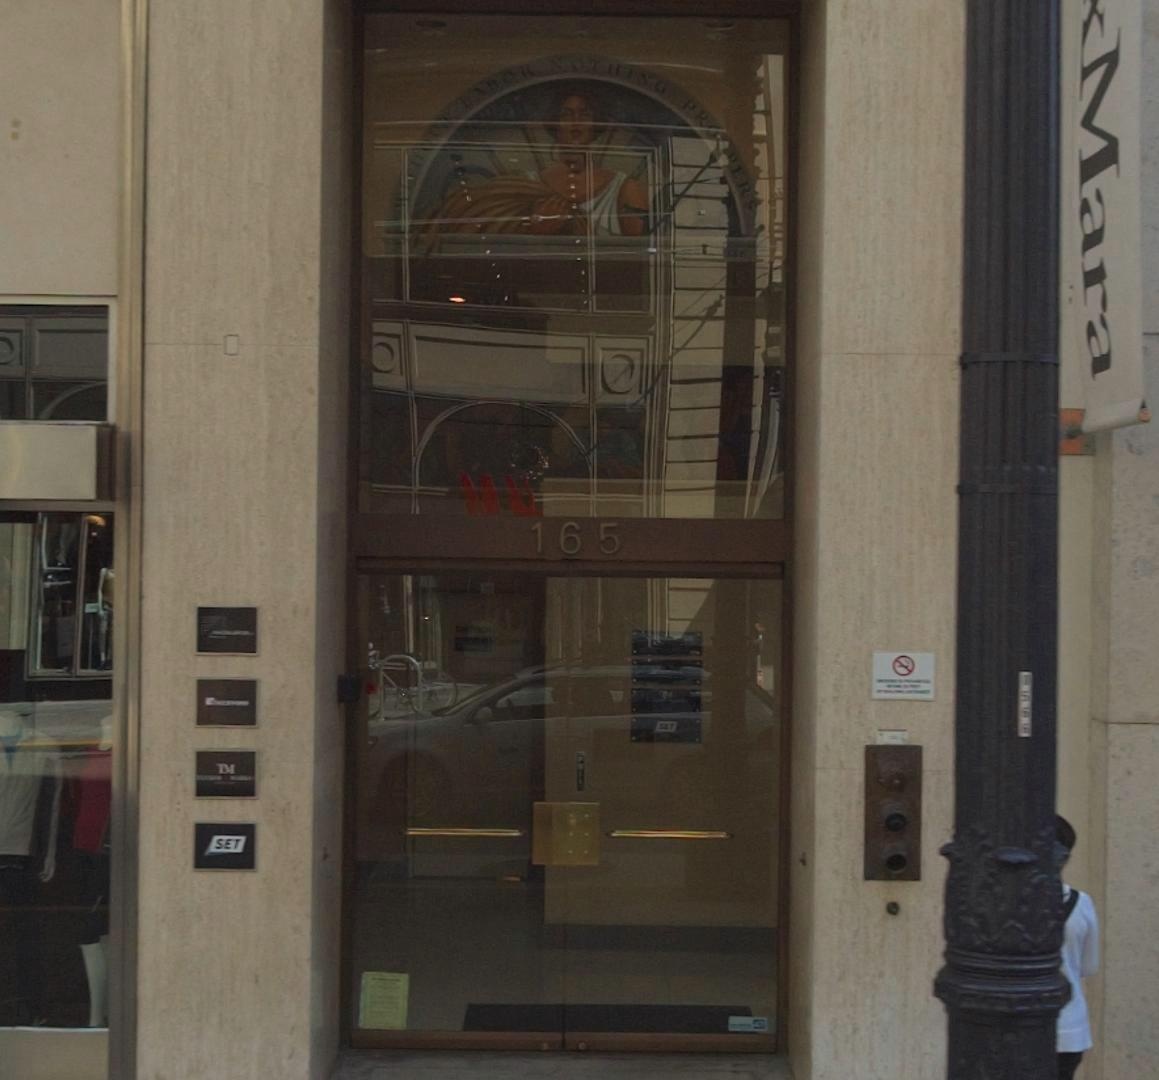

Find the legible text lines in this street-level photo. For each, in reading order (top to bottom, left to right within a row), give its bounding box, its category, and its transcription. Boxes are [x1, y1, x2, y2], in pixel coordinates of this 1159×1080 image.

[1071, 24, 1124, 392] None: Mara
[530, 520, 621, 555] StreetNumber: 165
[1020, 673, 1032, 736] None: 1566
[213, 838, 243, 849] None: SET